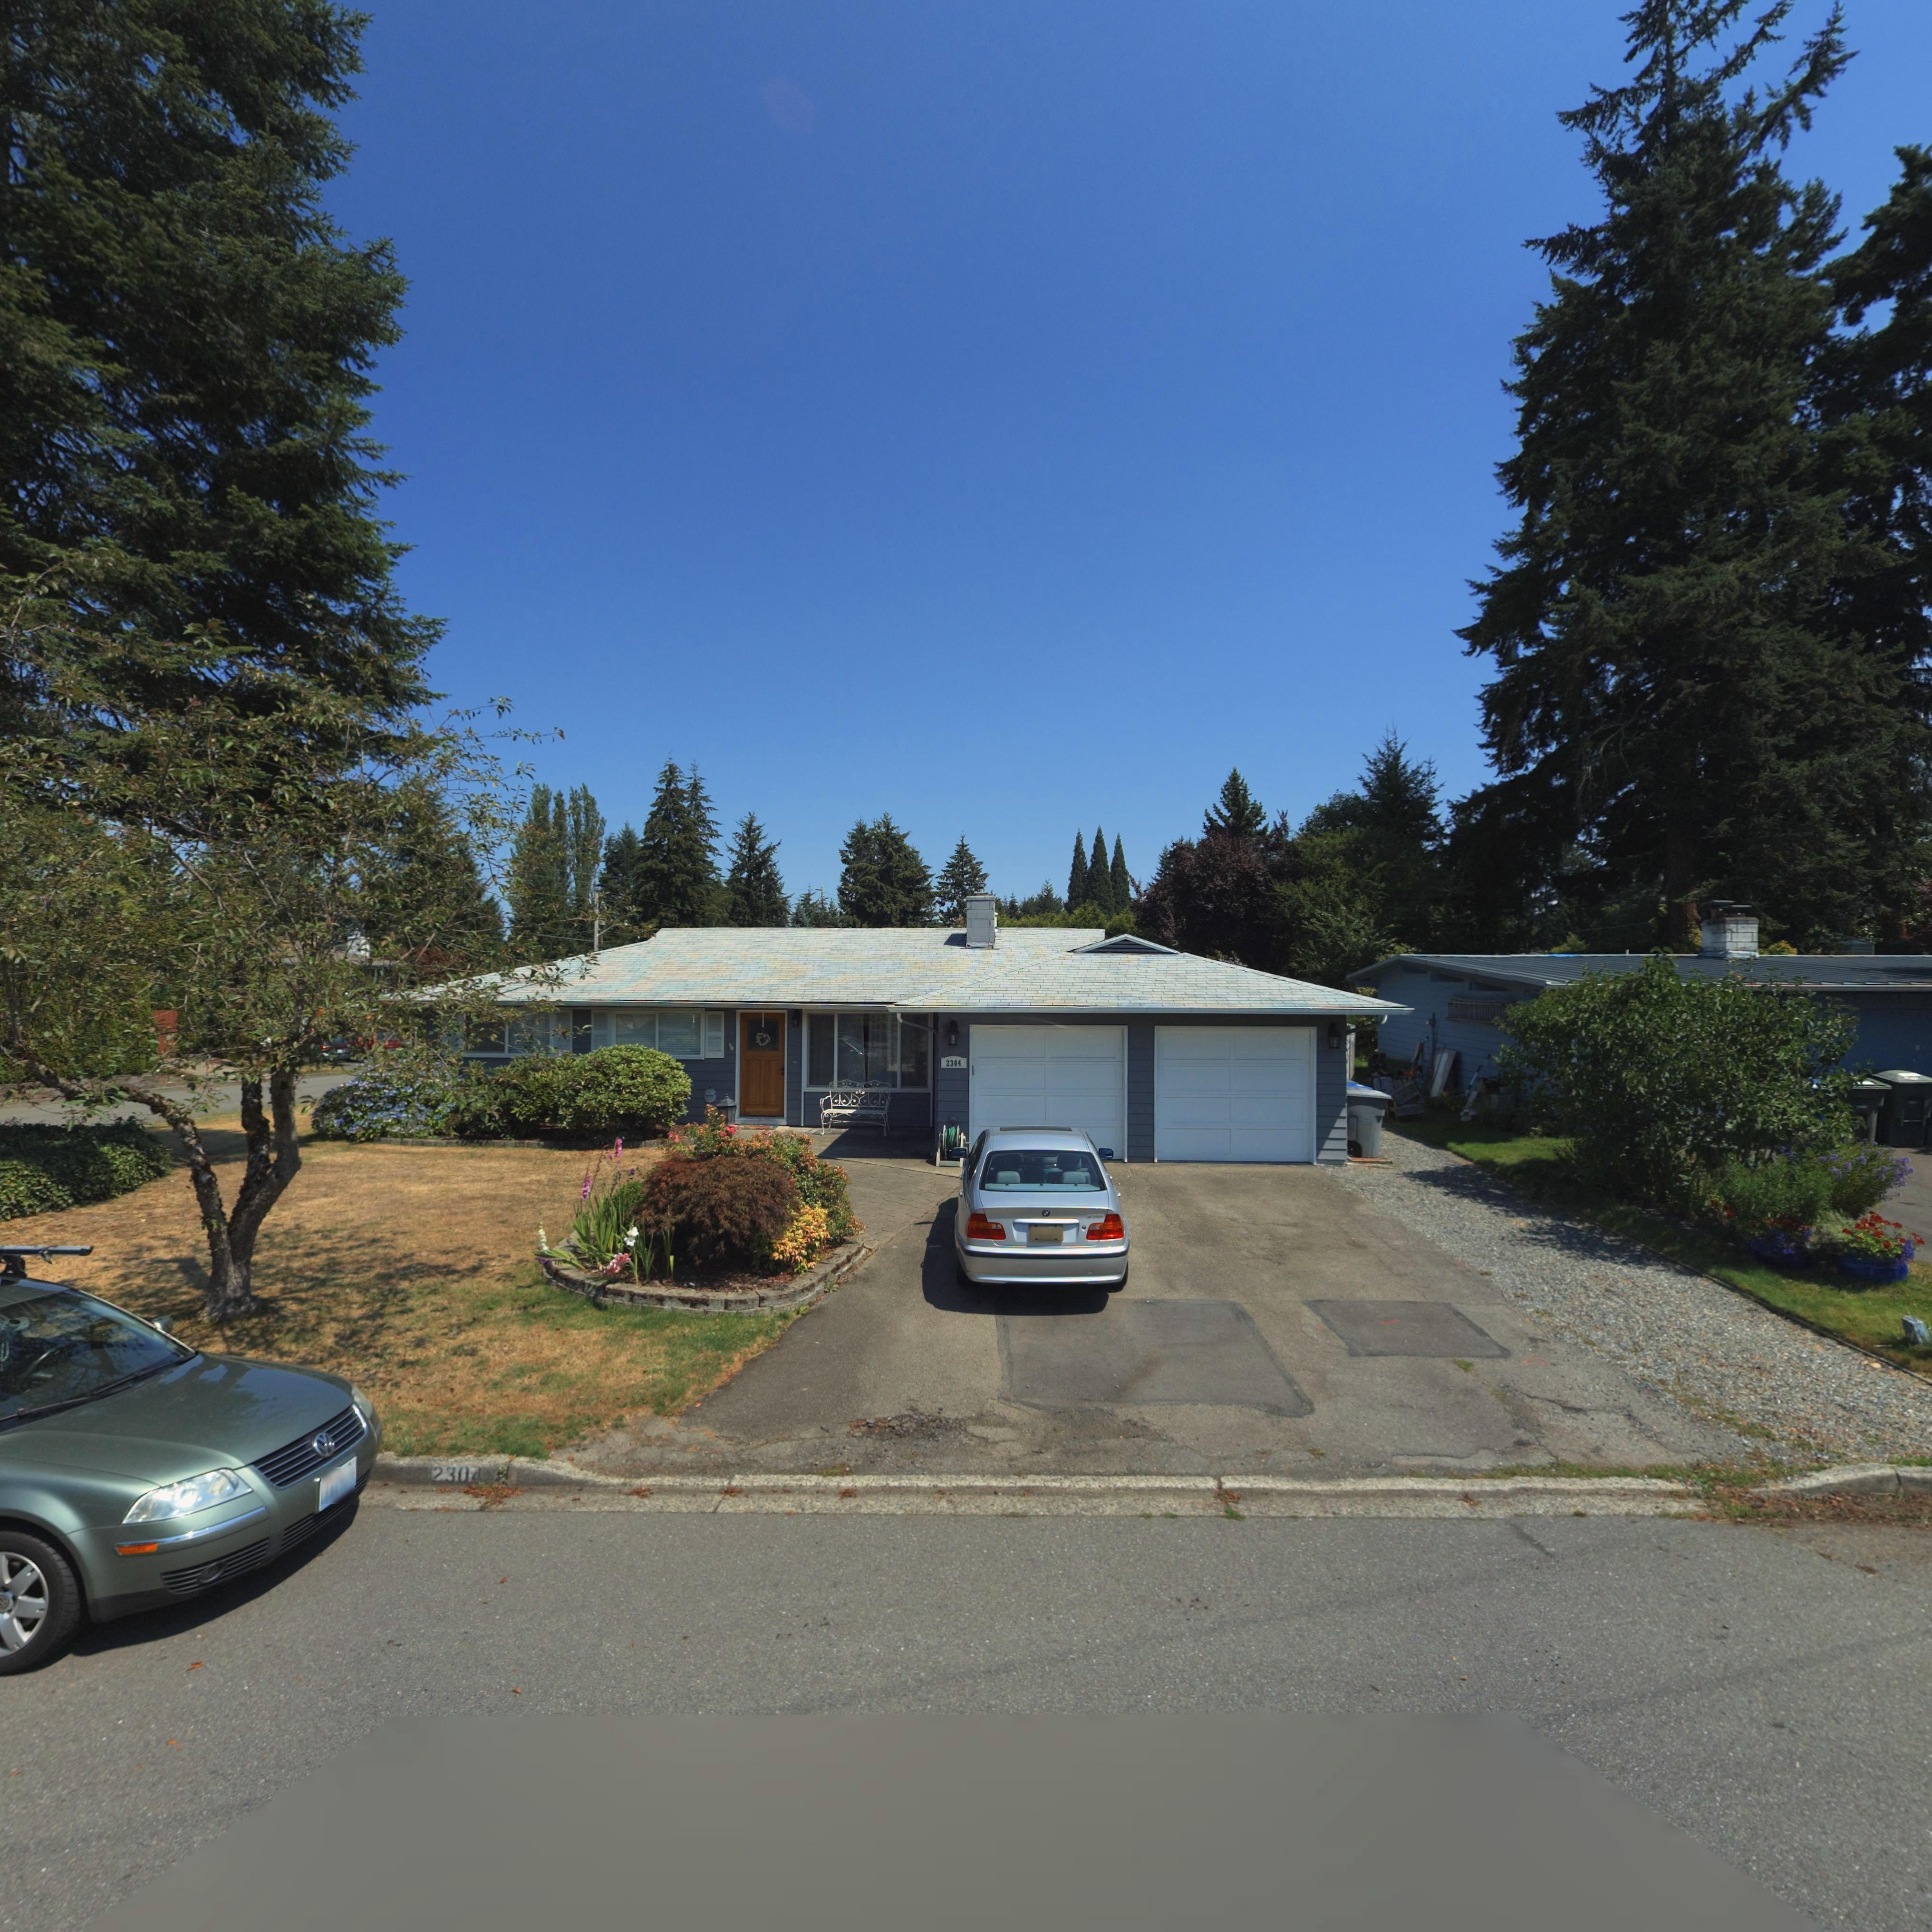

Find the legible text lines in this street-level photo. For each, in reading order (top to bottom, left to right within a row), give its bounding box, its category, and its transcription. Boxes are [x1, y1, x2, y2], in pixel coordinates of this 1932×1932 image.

[946, 1059, 961, 1067] StreetNumber: 2304